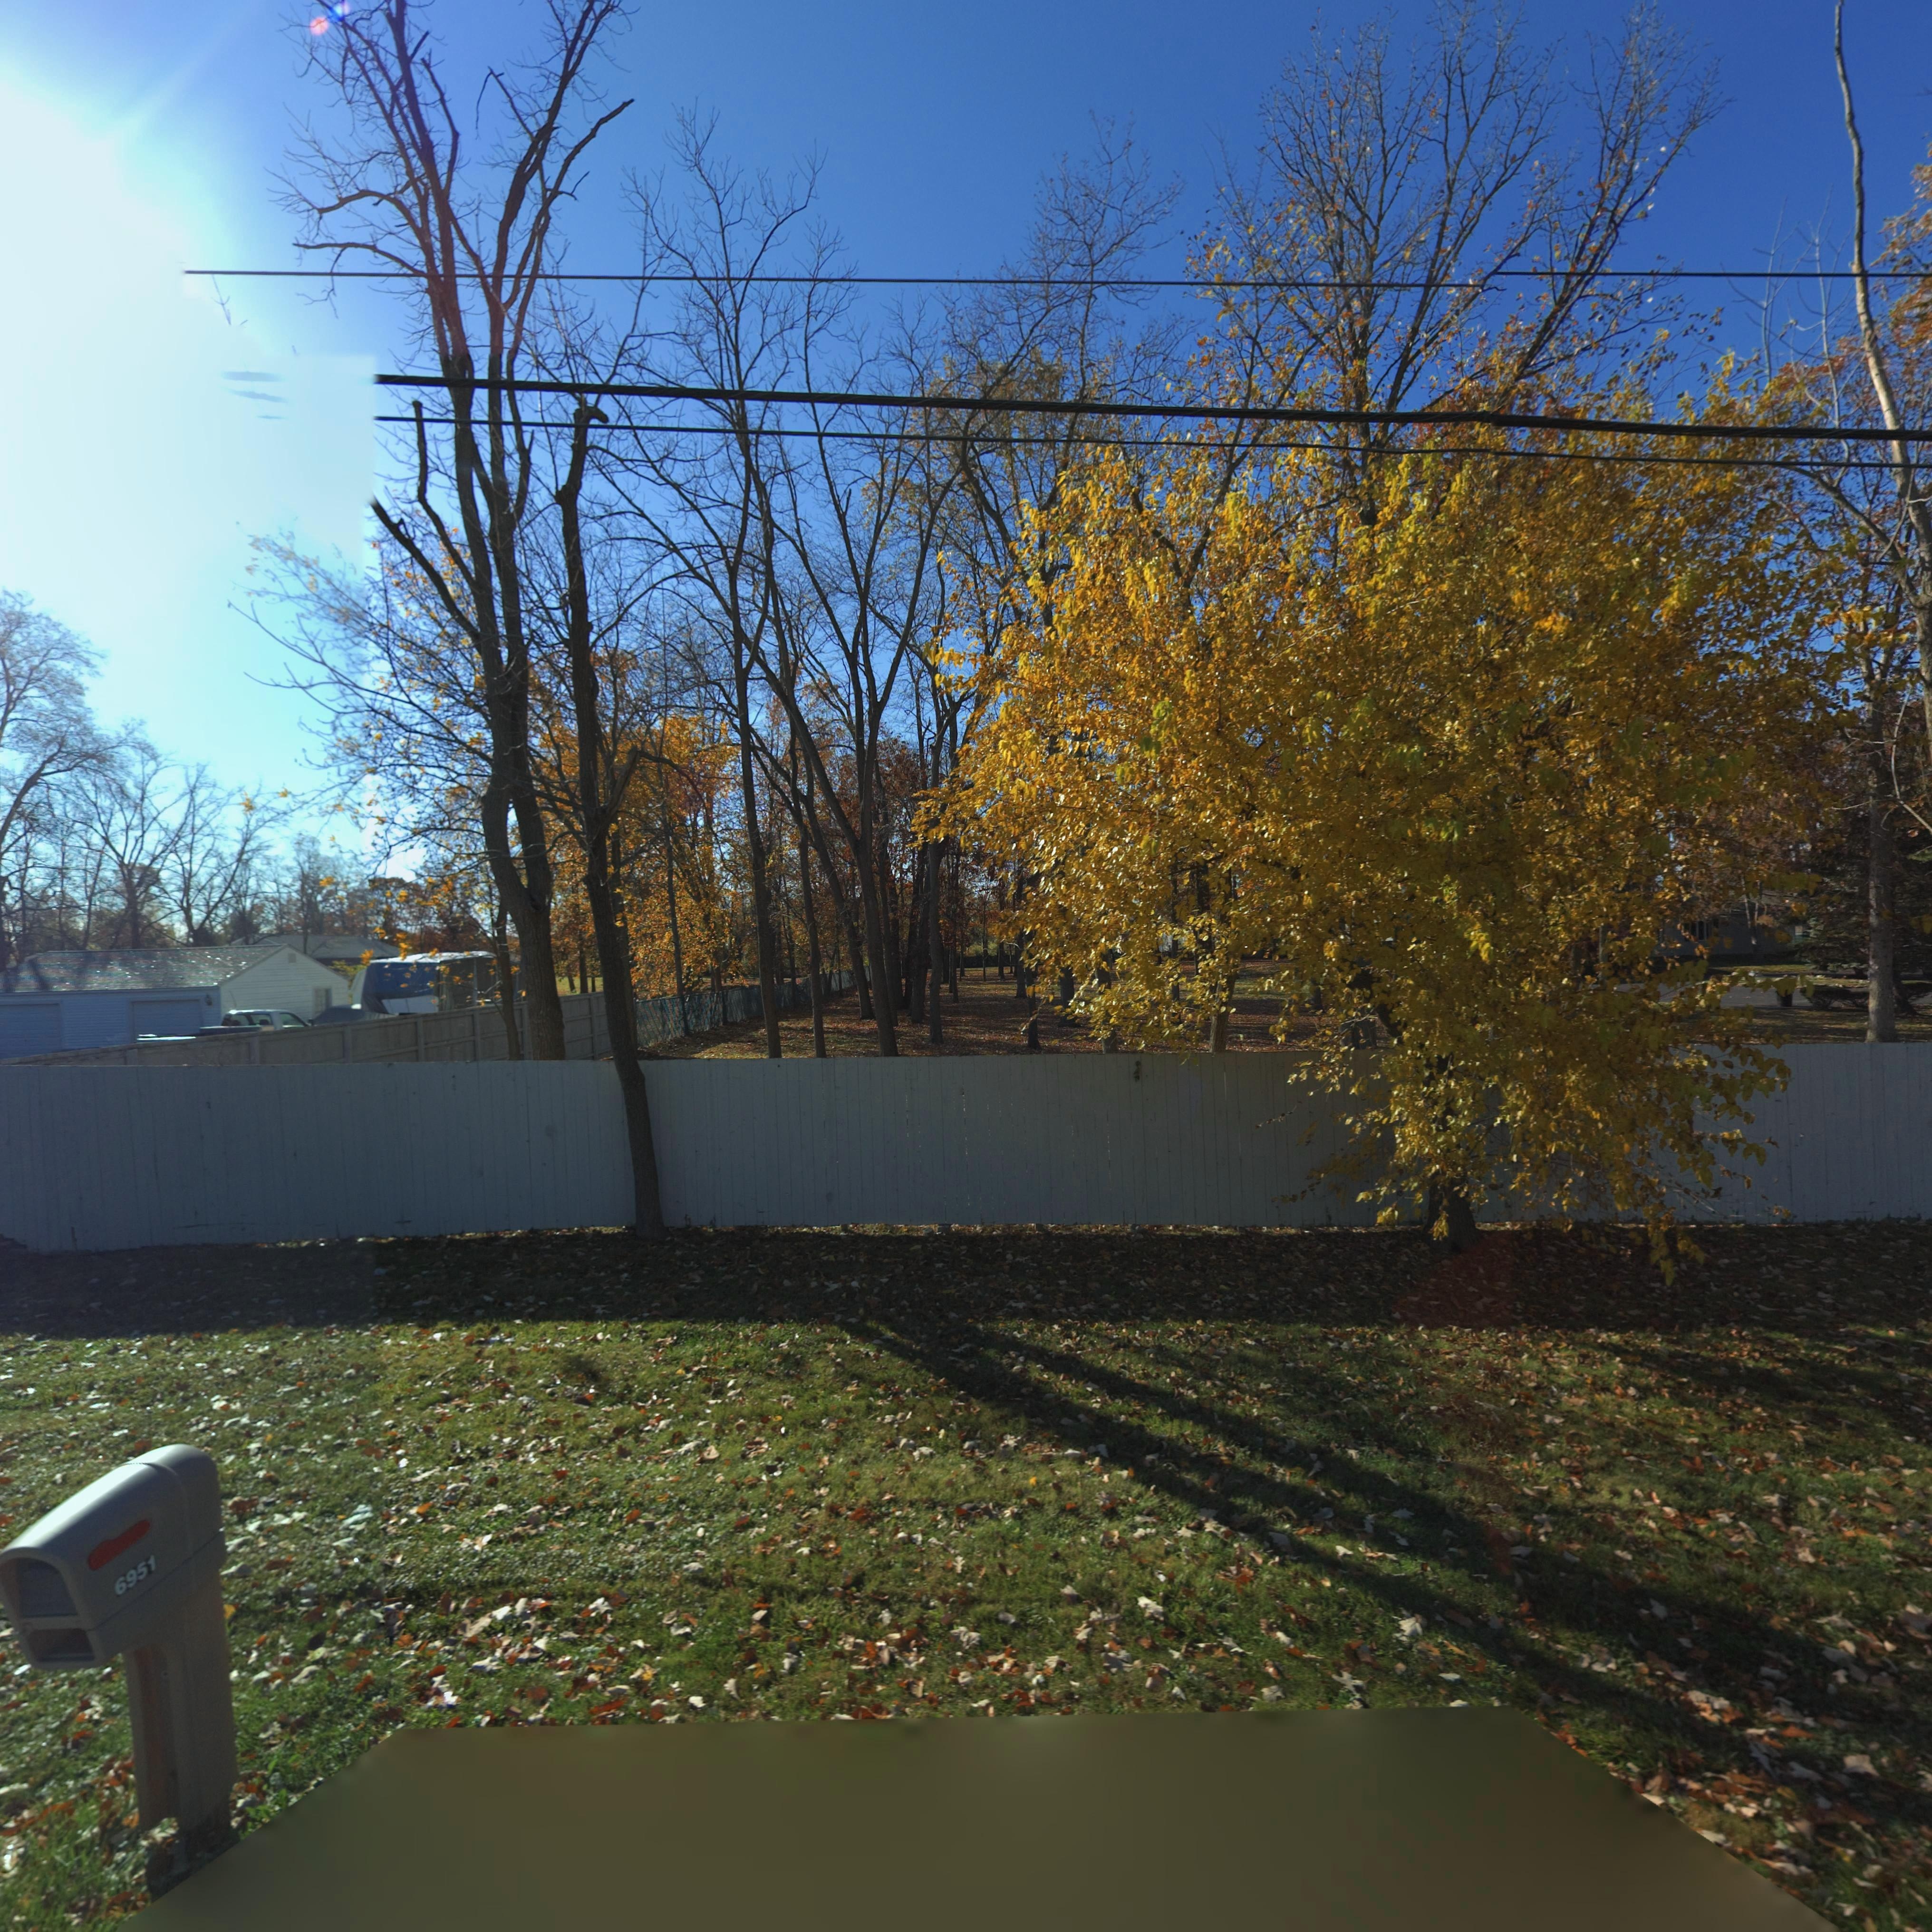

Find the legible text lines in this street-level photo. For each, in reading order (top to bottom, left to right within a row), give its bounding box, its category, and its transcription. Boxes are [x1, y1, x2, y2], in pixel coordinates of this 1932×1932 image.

[114, 1553, 158, 1598] StreetNumber: 6951